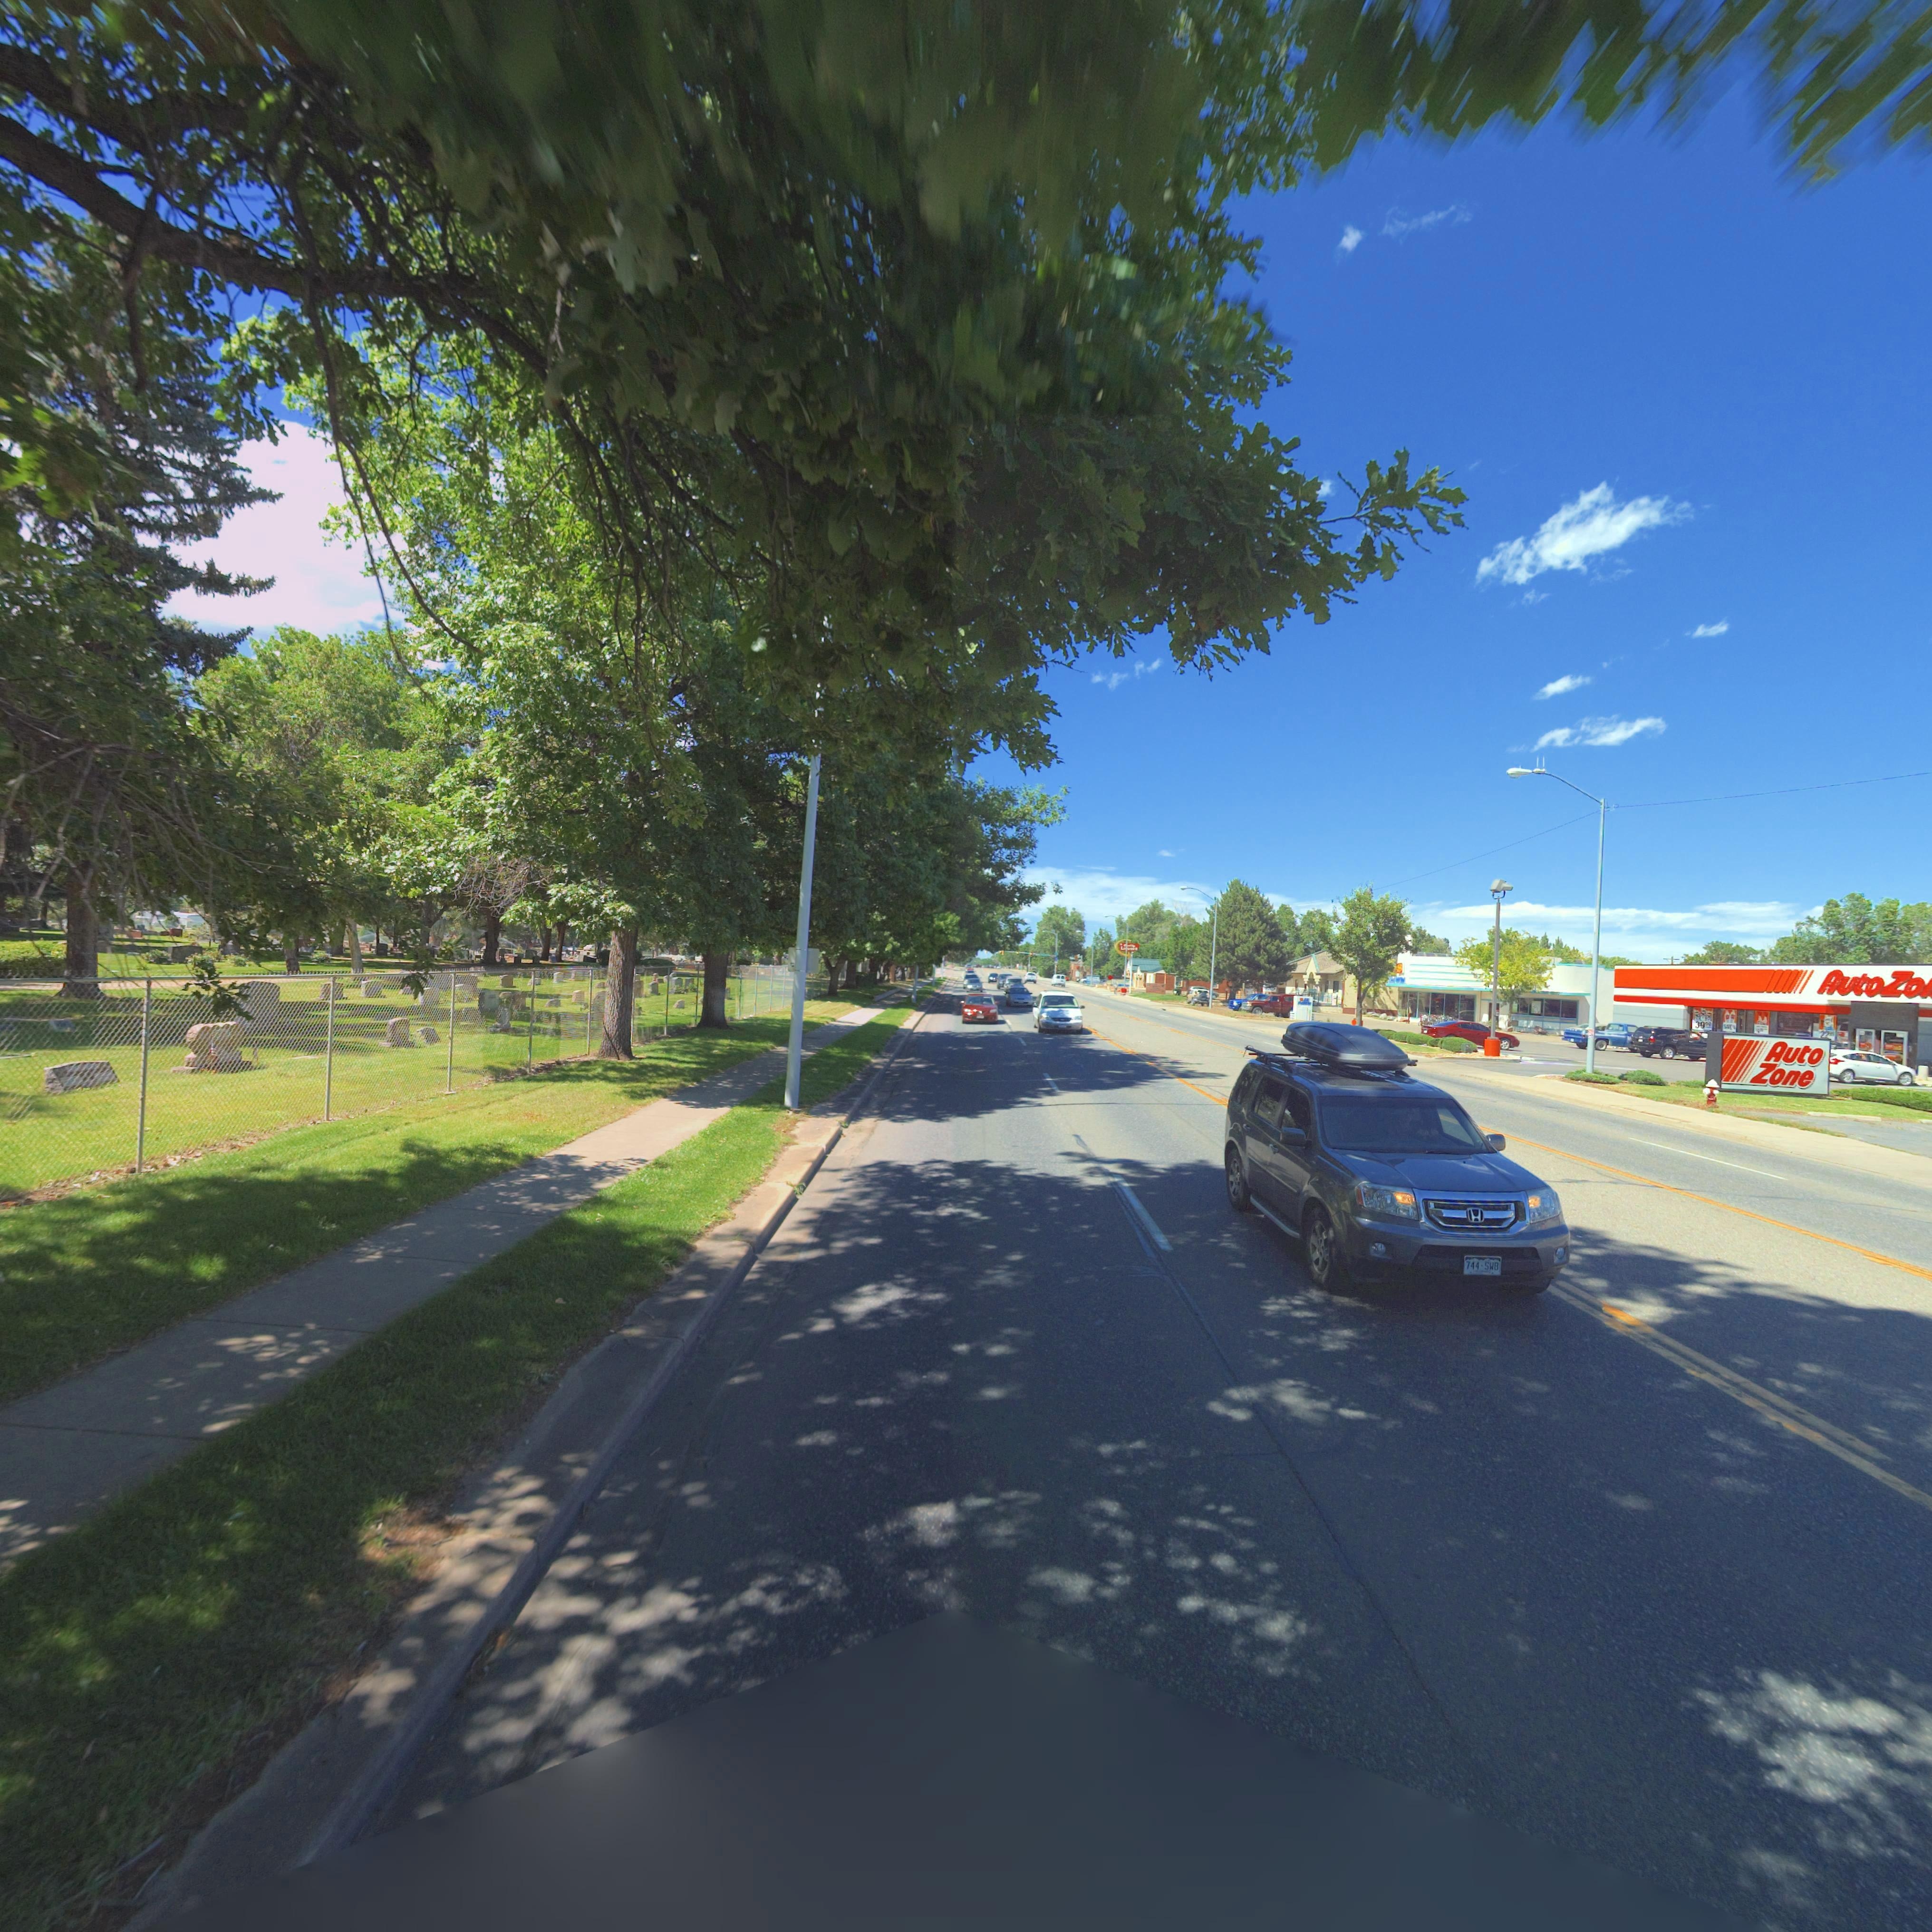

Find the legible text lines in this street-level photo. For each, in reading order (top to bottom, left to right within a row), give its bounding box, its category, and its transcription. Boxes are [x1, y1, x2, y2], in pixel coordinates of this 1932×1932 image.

[1120, 946, 1138, 950] BusinessName: L******
[1395, 976, 1406, 984] BusinessName: WN
[1816, 967, 1925, 1000] BusinessName: AutoZo
[1762, 1041, 1825, 1066] BusinessName: Auto
[1748, 1061, 1816, 1088] BusinessName: Zone